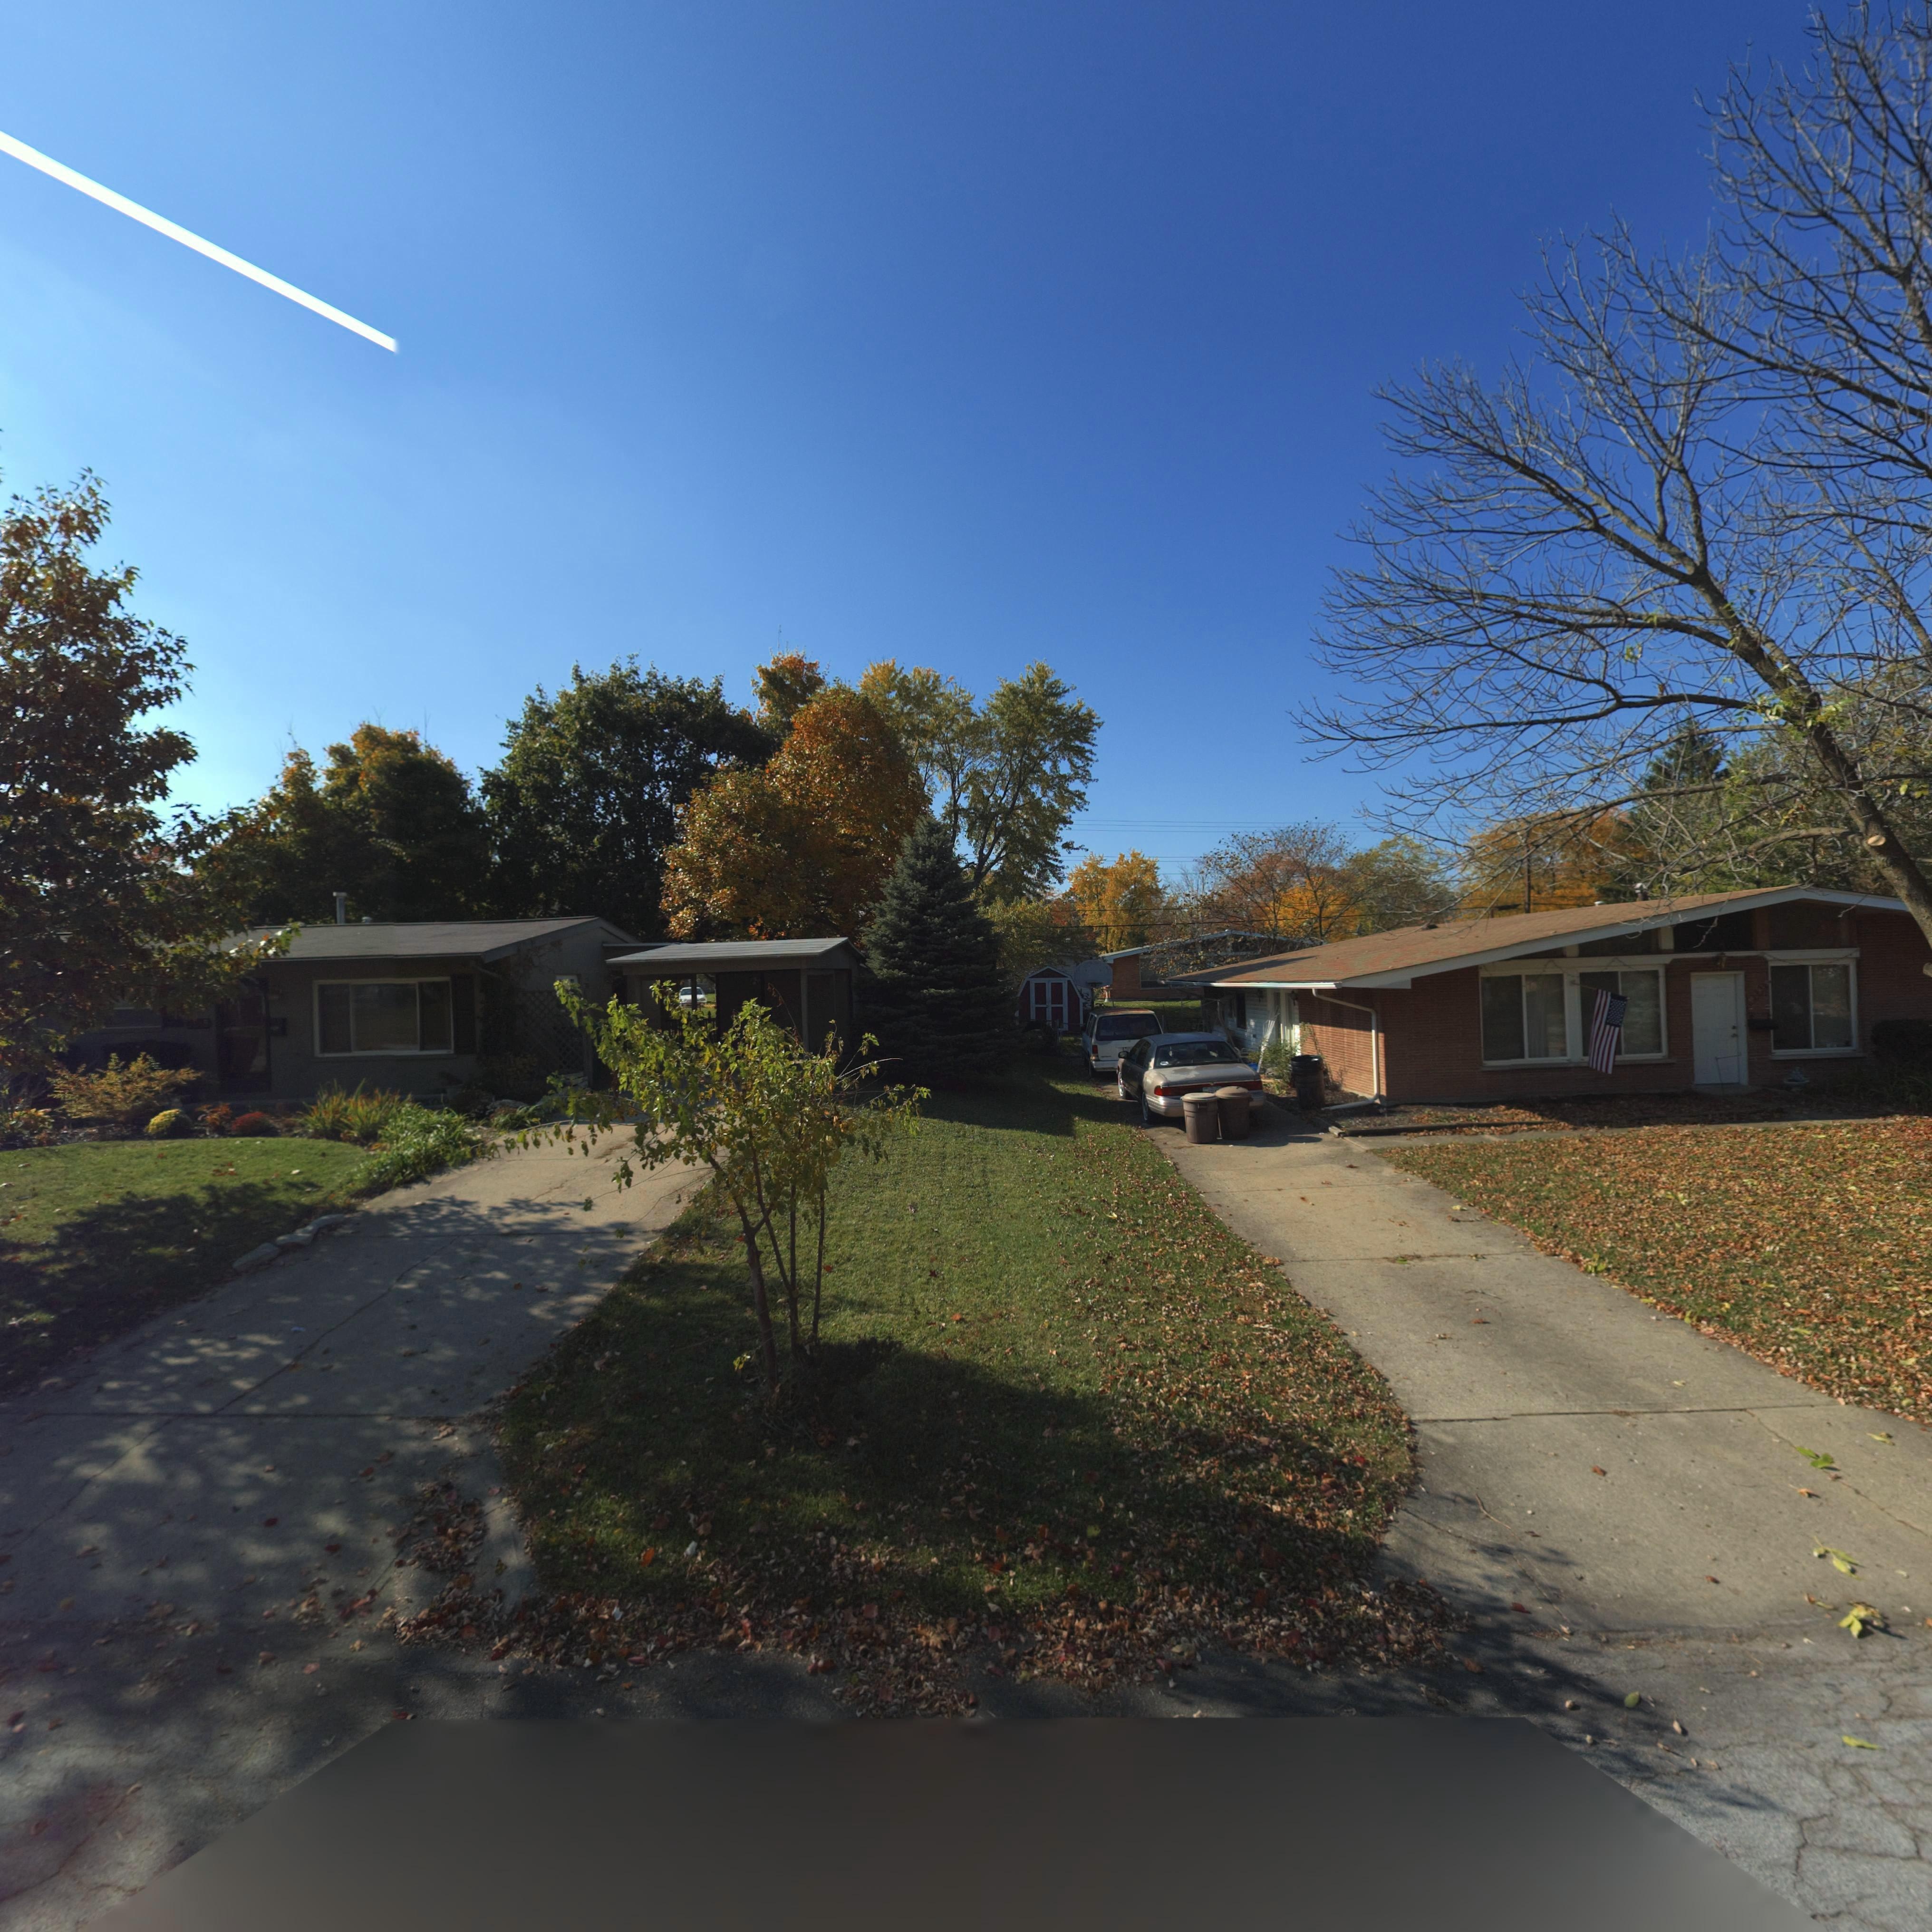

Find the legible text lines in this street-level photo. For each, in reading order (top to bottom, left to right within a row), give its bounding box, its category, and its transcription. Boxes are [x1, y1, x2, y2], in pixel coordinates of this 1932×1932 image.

[203, 1019, 209, 1028] StreetNumber: 5